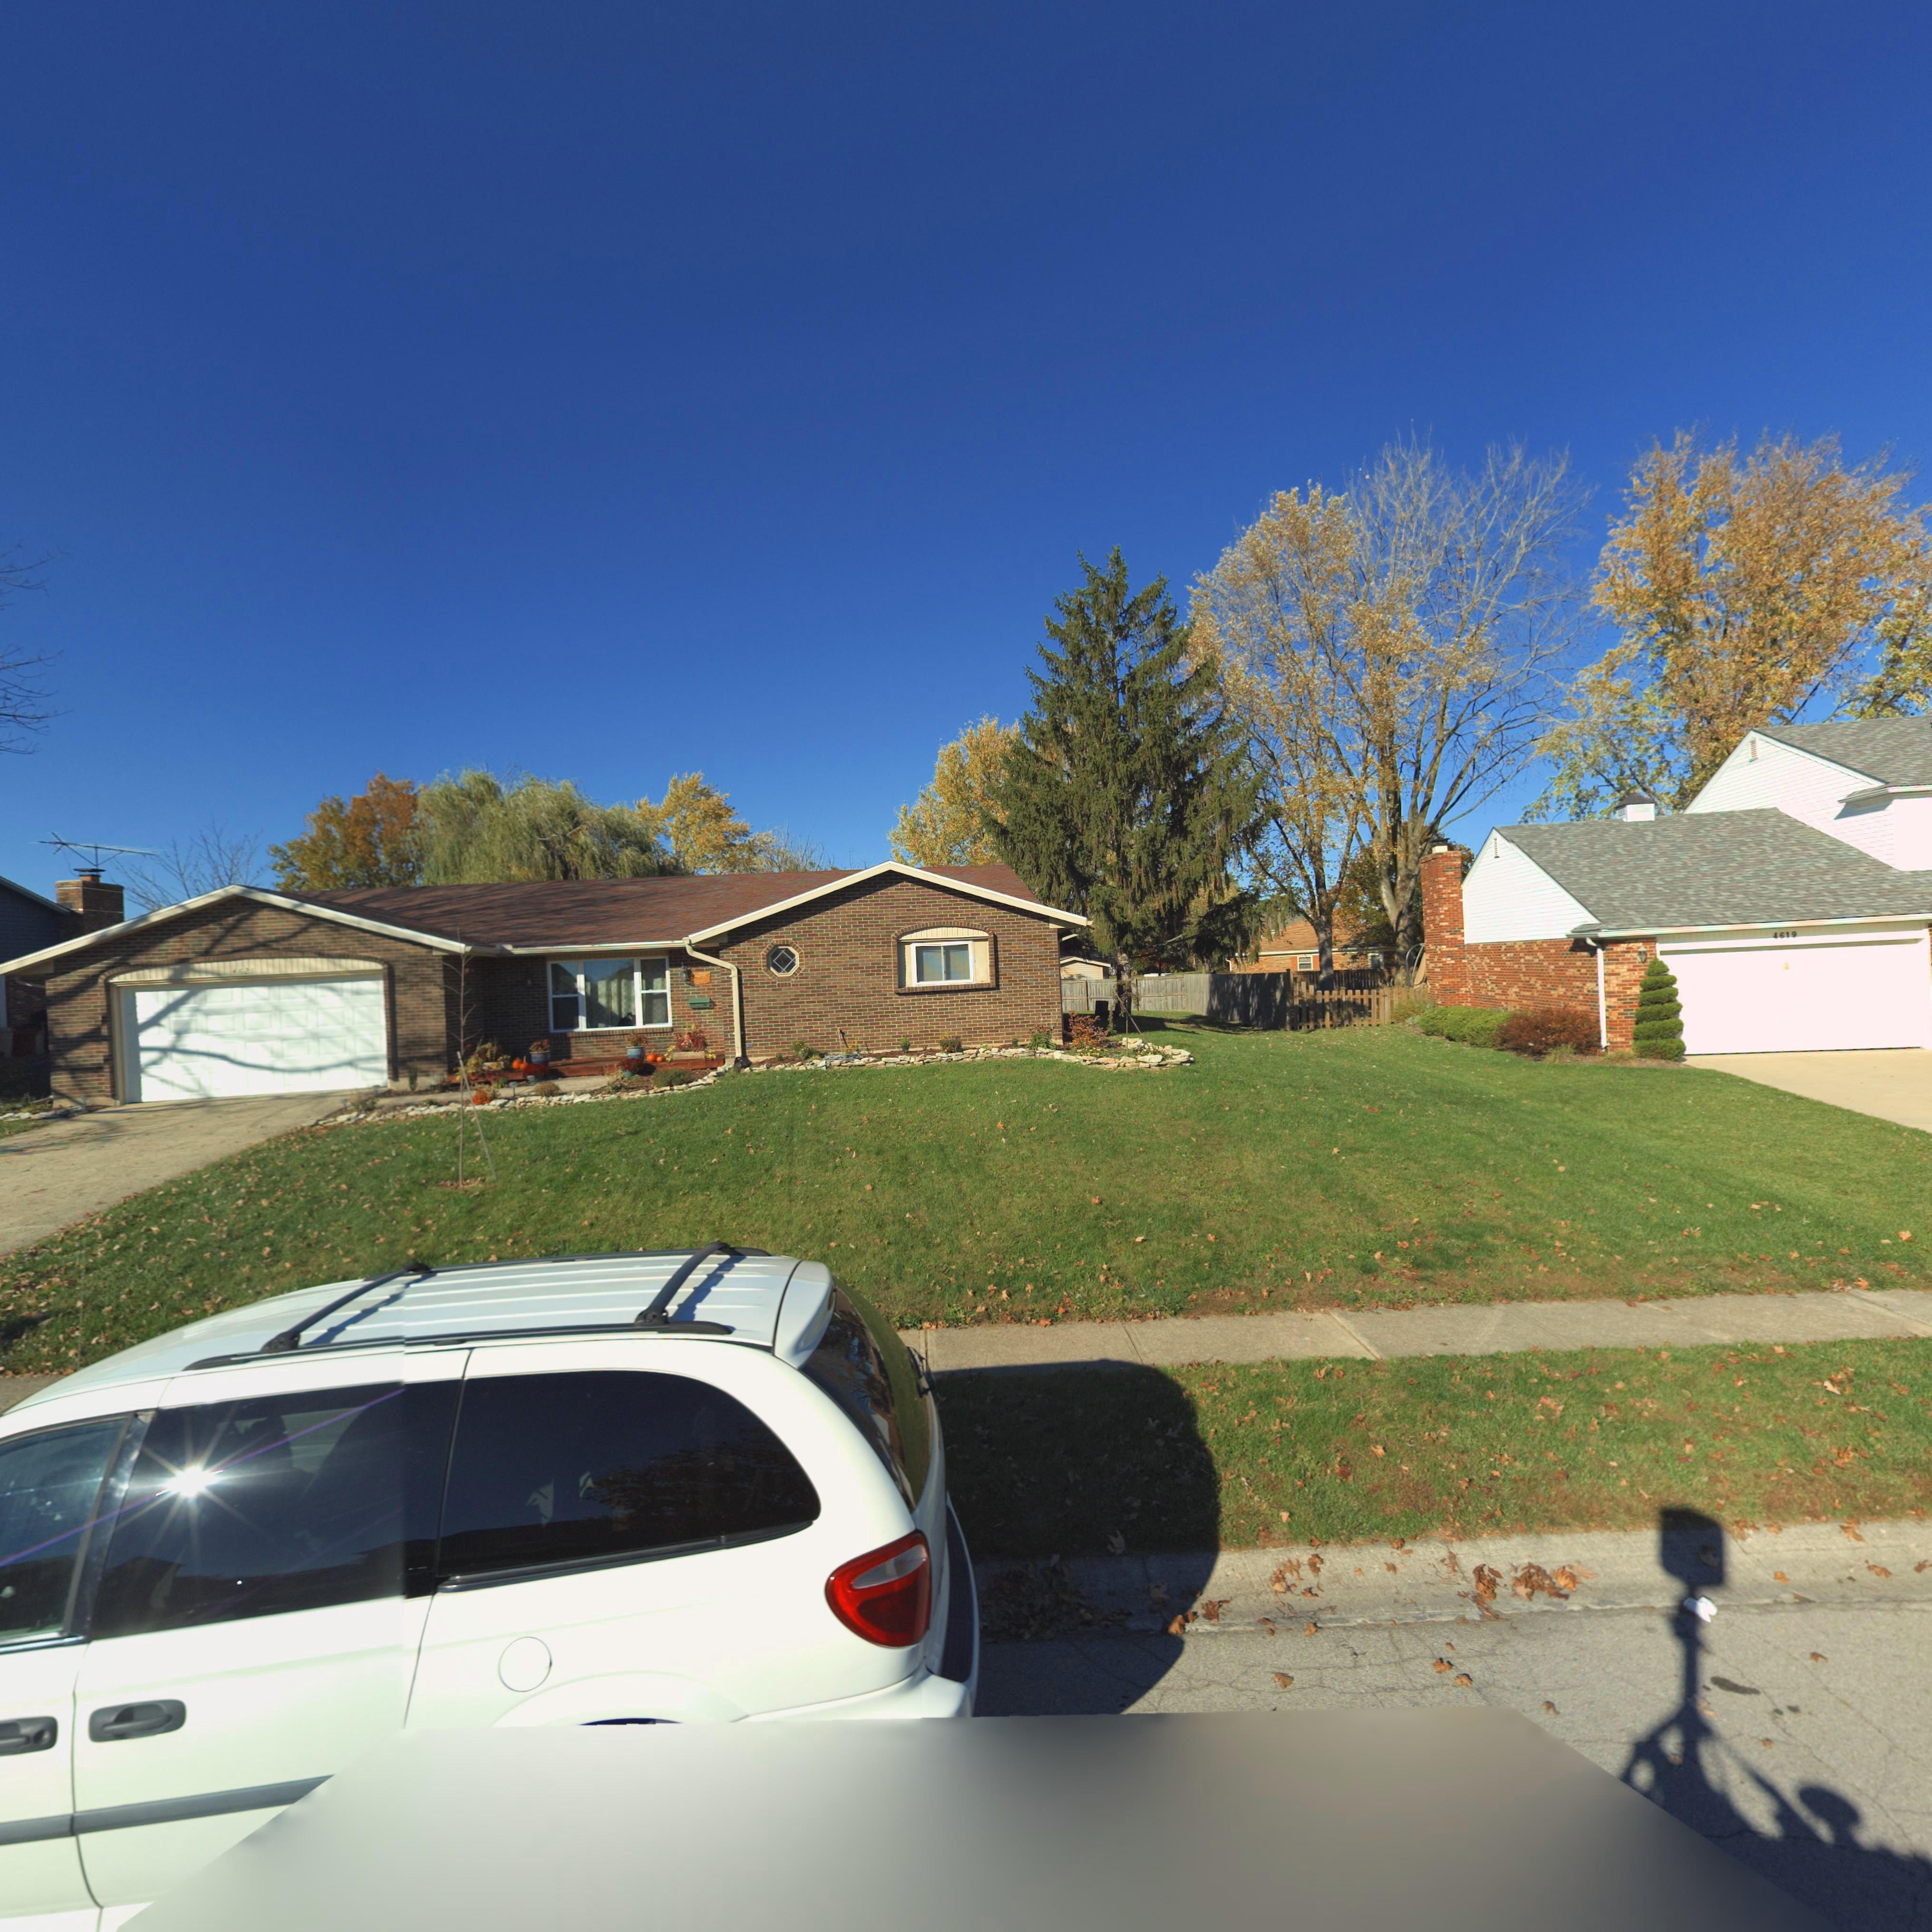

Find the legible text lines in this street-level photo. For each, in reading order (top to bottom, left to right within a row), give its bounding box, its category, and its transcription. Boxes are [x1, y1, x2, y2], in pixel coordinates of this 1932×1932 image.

[1772, 931, 1797, 939] StreetNumber: 4619
[231, 967, 255, 975] StreetNumber: 4621